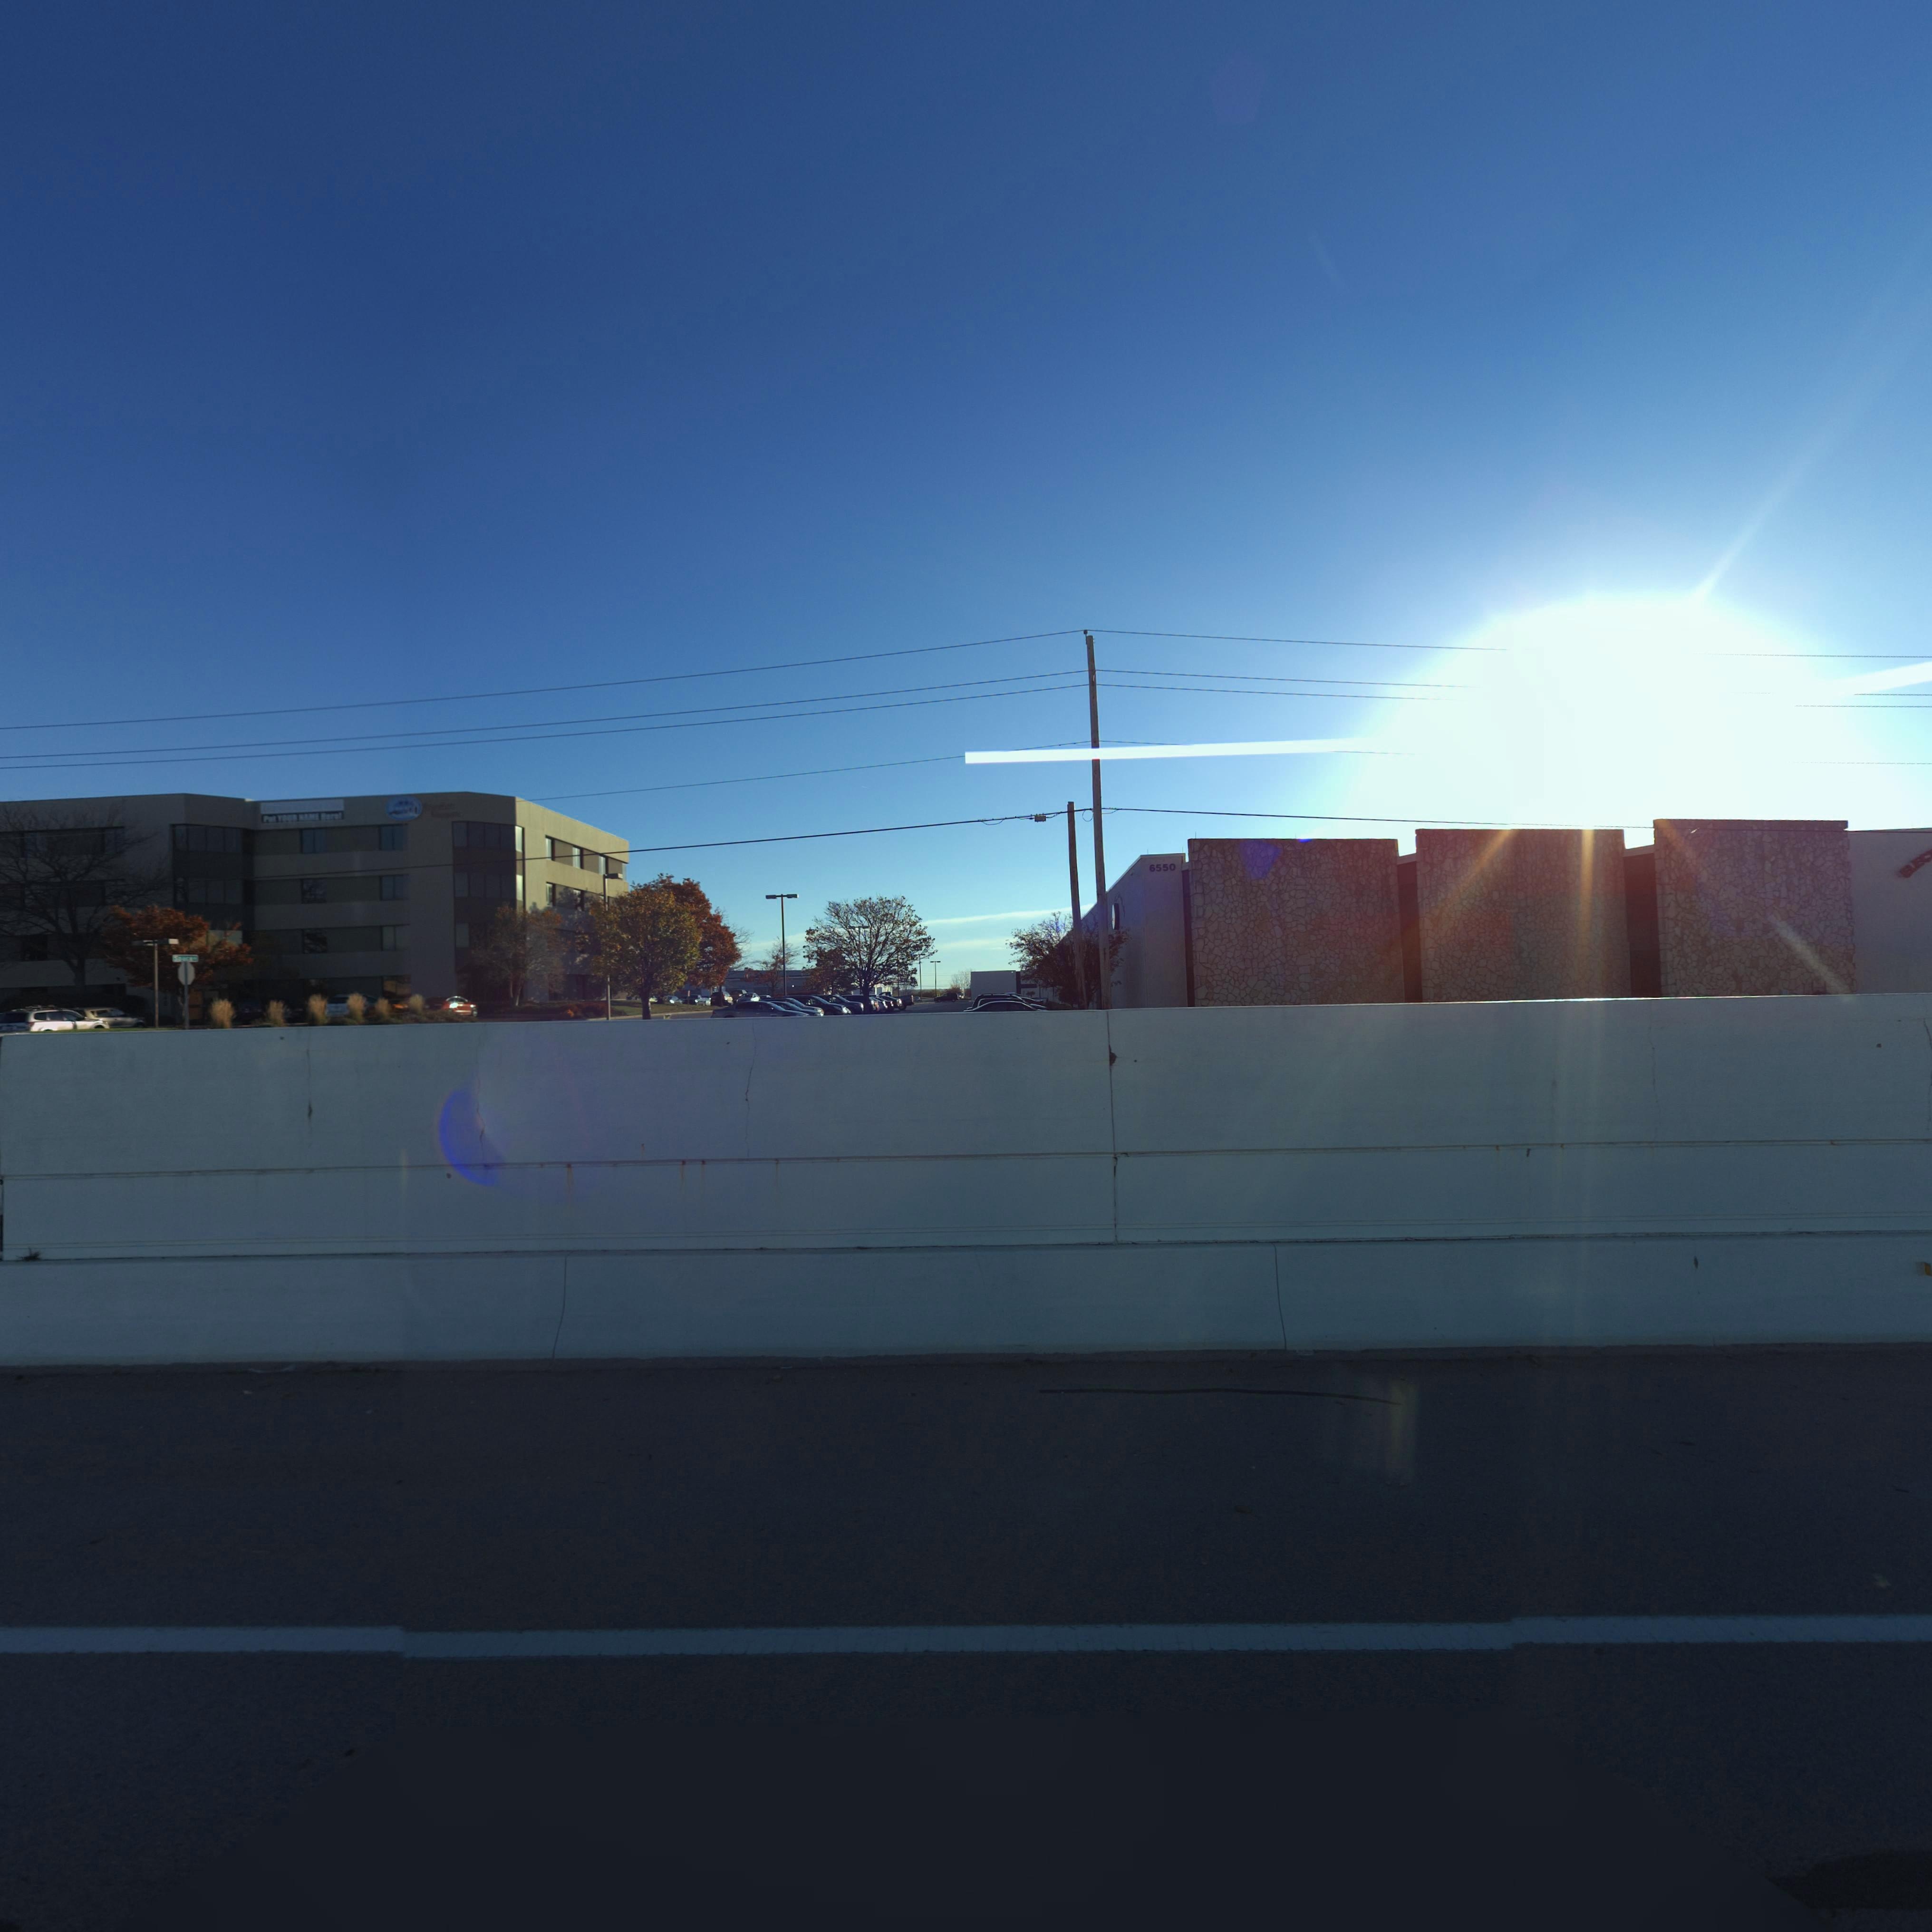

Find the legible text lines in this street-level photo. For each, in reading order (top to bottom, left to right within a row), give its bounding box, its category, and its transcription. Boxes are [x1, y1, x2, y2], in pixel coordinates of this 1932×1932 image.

[1148, 862, 1177, 874] StreetNumber: 6550